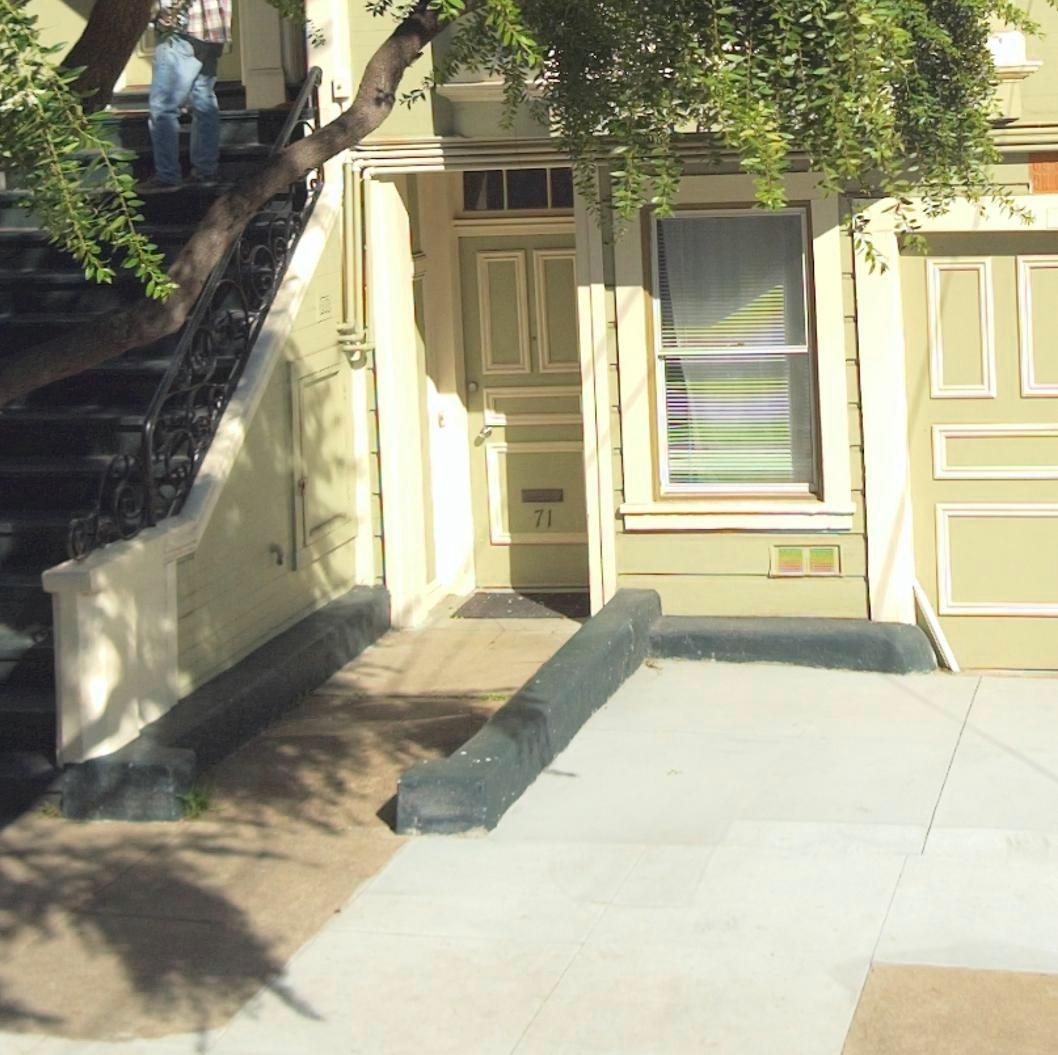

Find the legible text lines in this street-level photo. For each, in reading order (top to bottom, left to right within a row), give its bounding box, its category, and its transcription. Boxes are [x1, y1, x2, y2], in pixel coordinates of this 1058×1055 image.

[532, 507, 553, 530] StreetNumber: 71